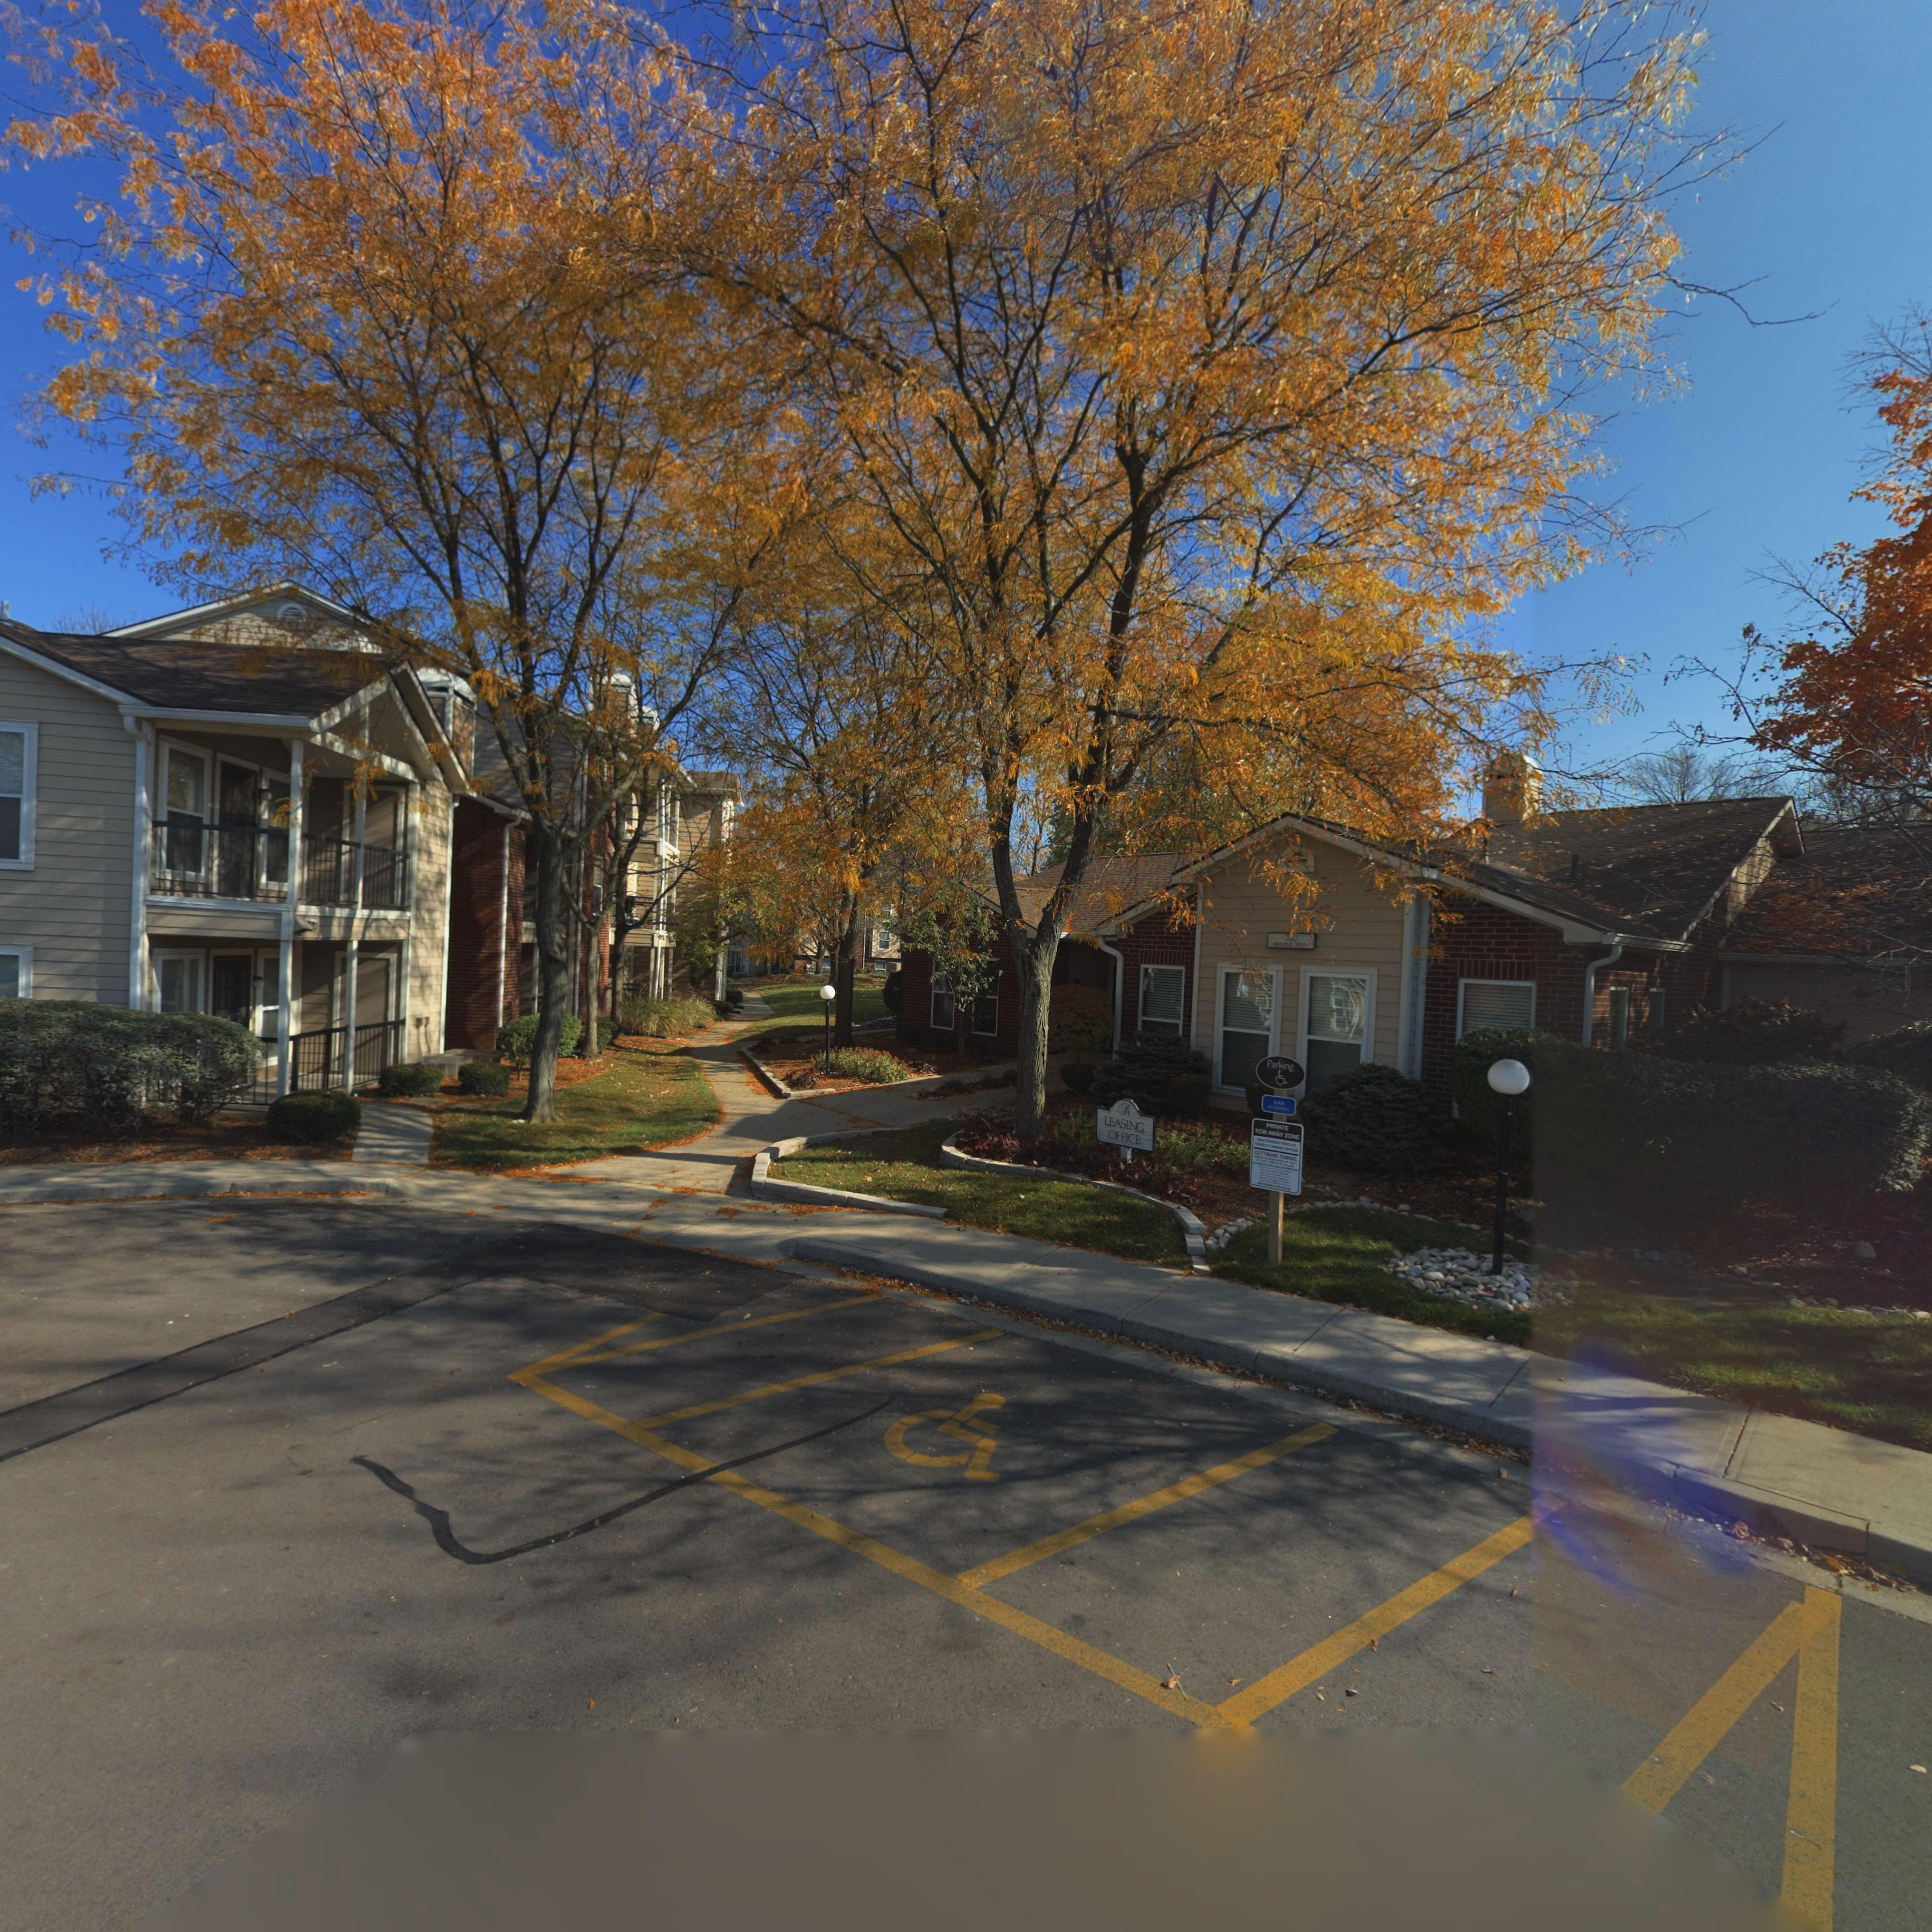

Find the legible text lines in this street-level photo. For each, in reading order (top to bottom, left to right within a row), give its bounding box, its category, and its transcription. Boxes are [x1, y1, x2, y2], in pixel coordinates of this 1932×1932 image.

[1284, 934, 1298, 942] StreetNumber: 740
[1266, 1058, 1295, 1072] None: Parking
[1267, 1104, 1290, 1112] None: ACCESSIBLE
[1273, 1099, 1285, 1106] None: VAN
[1104, 1115, 1144, 1133] None: LEASING
[1265, 1122, 1289, 1131] None: PRIVATE
[1108, 1129, 1141, 1145] None: OFFICE
[1255, 1128, 1301, 1140] None: TOW AWAY ZONE
[1254, 1150, 1297, 1161] None: COTTMANS TOWING